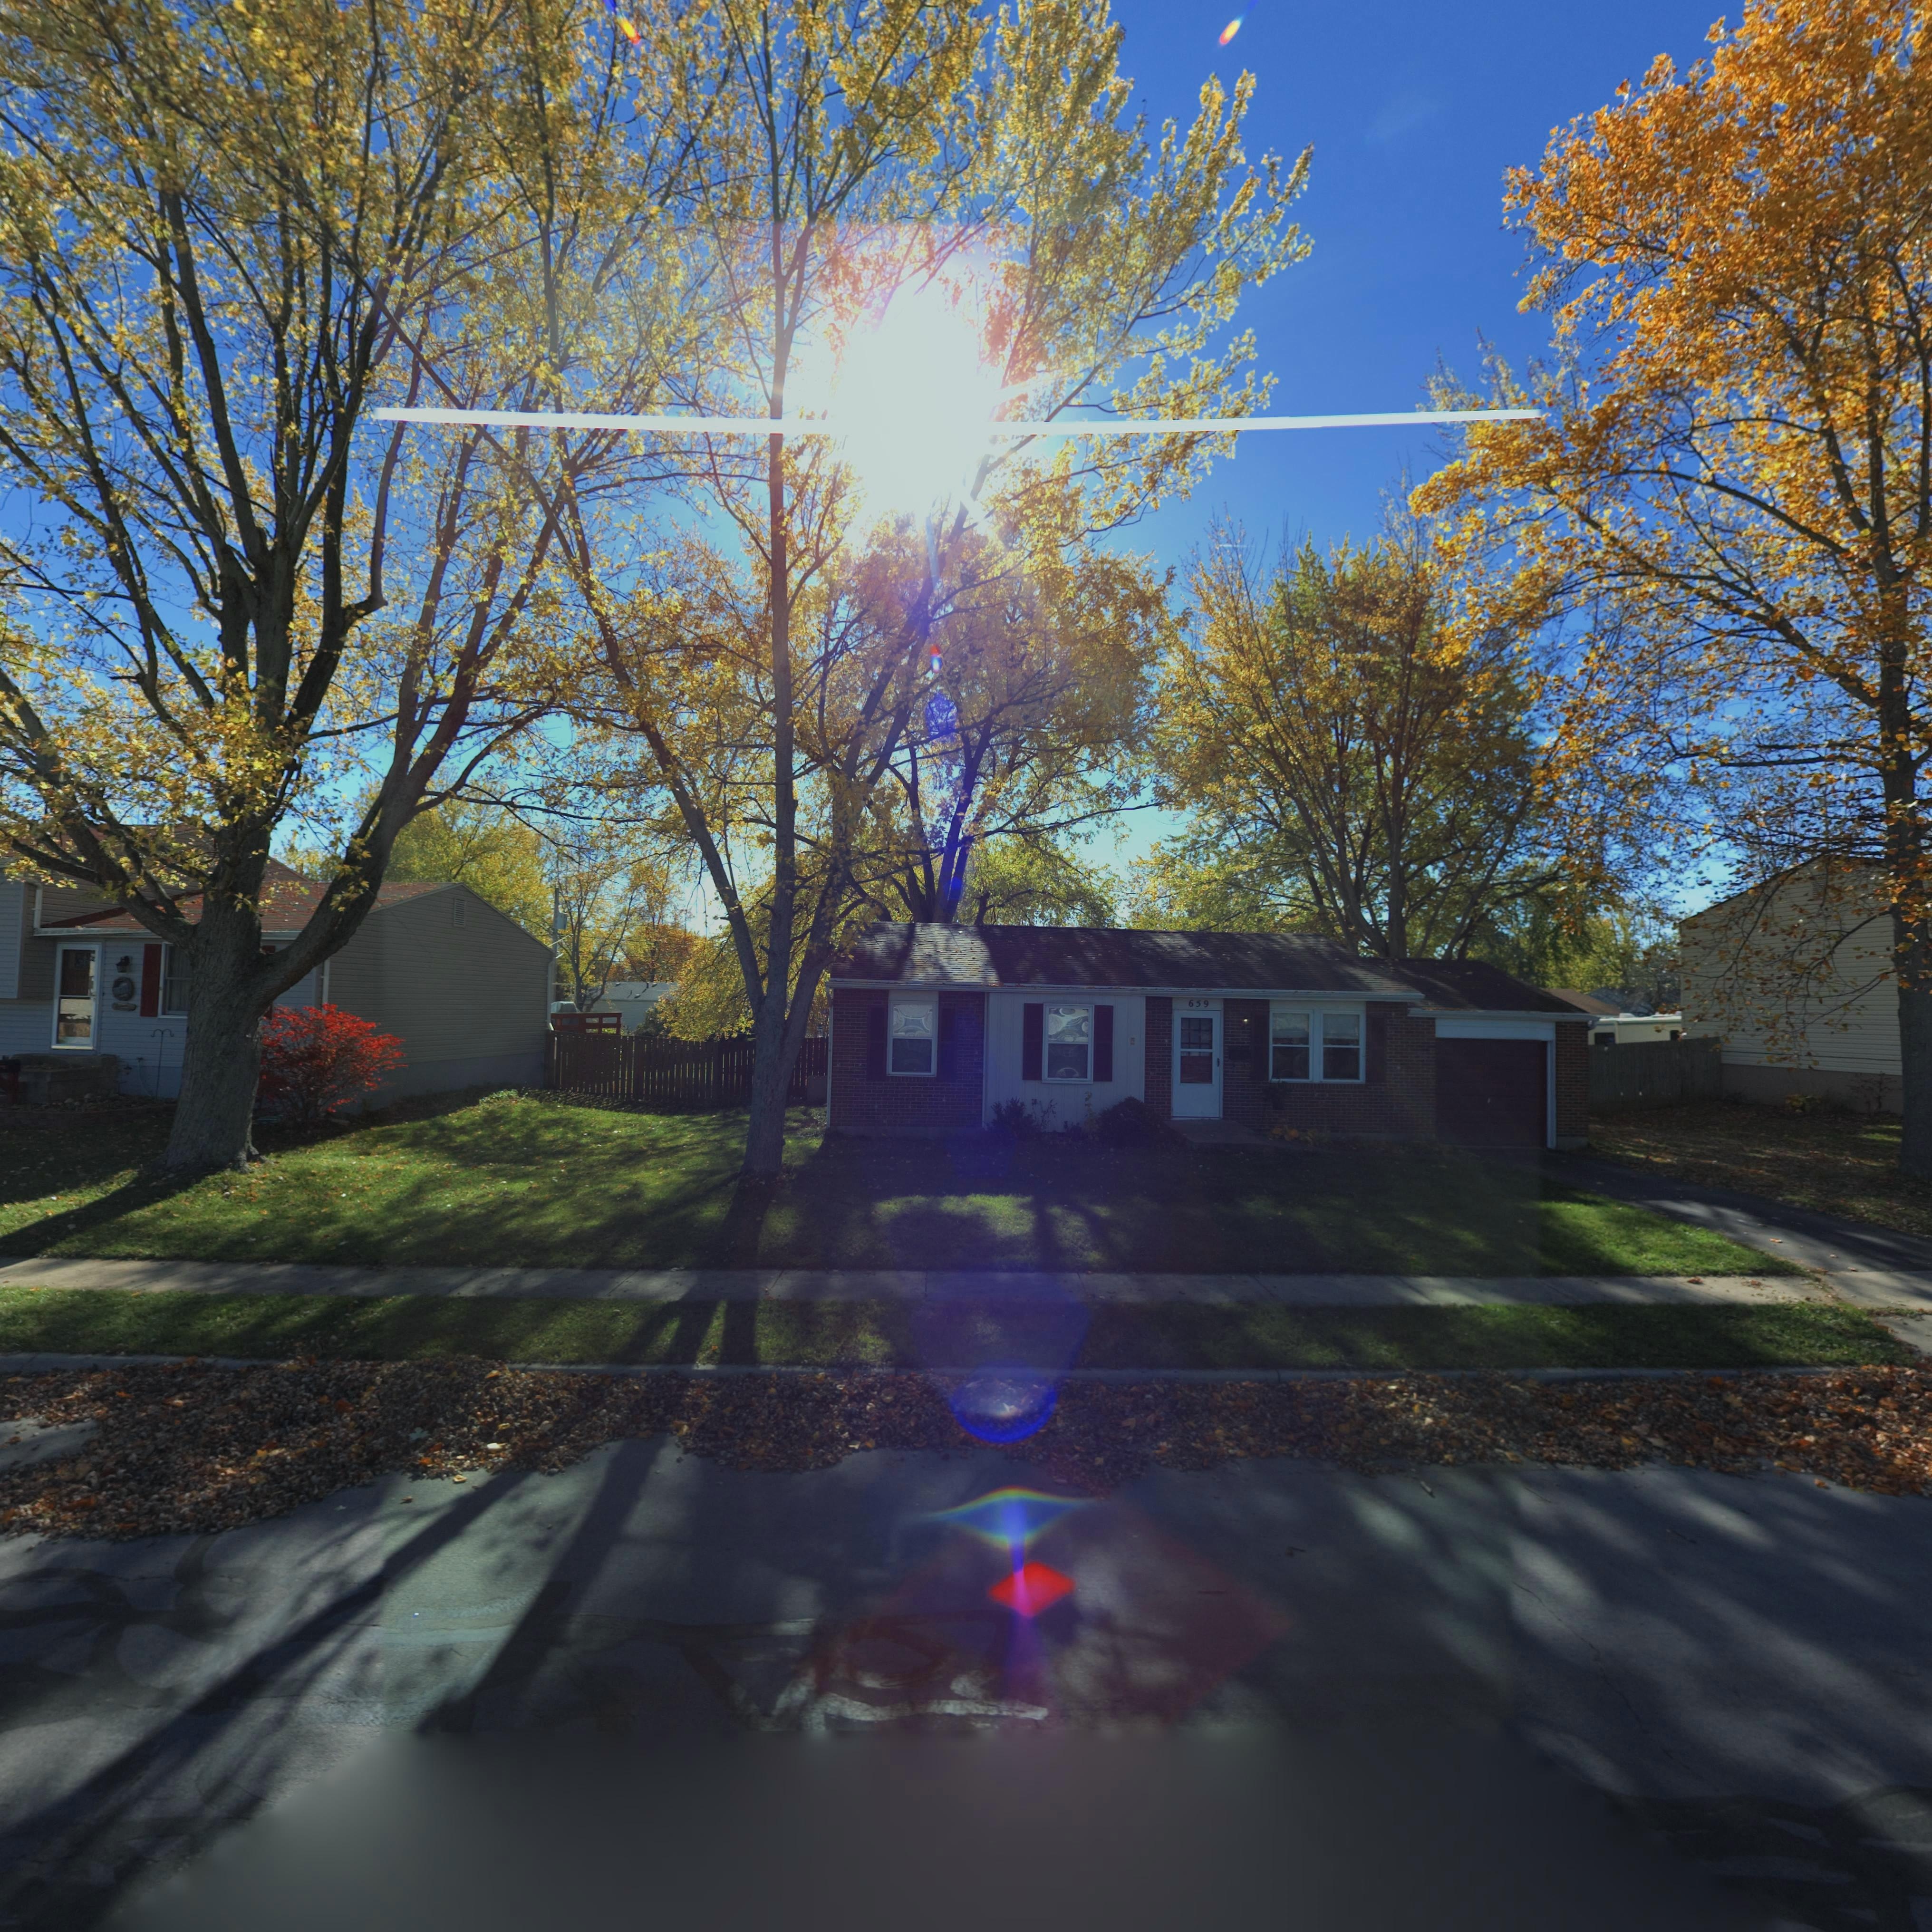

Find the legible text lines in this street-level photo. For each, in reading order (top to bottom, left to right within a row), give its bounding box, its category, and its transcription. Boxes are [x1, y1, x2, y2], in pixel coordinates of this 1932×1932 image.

[1188, 999, 1209, 1008] StreetNumber: 659